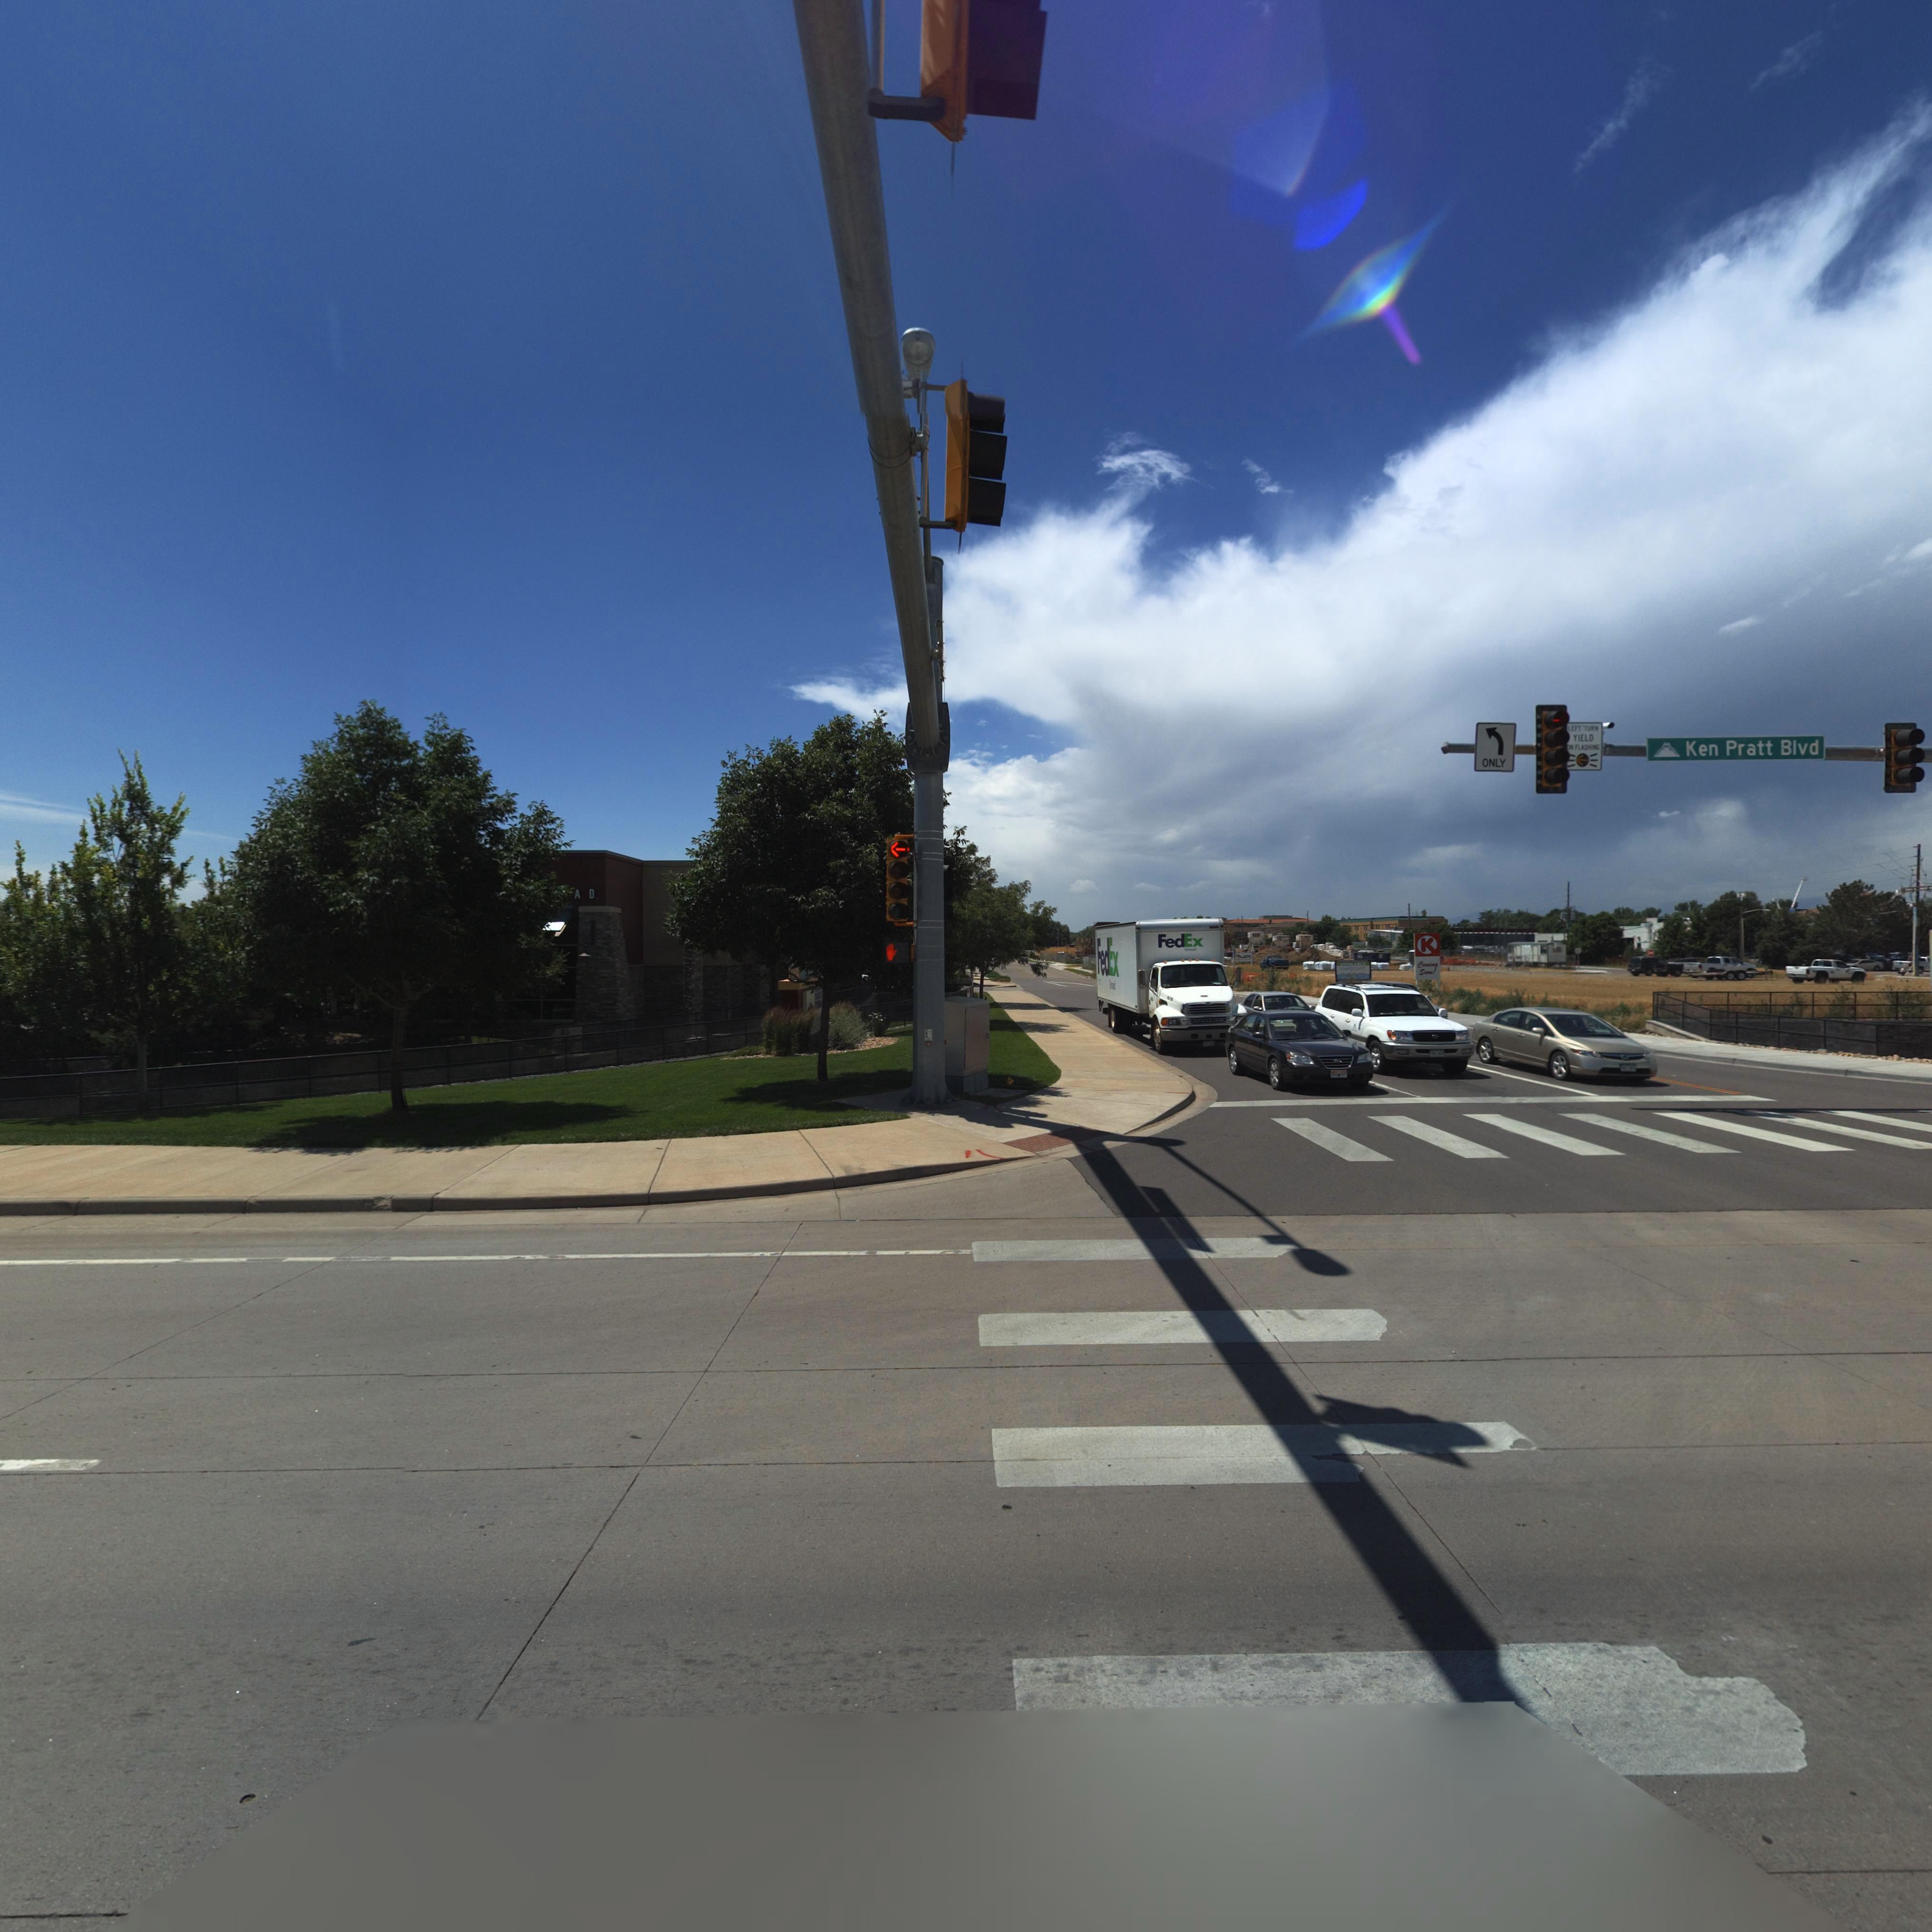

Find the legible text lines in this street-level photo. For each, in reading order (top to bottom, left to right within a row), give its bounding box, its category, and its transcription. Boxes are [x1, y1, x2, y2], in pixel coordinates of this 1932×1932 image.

[1686, 739, 1818, 756] StreetName: Ken Pratt Blvd
[574, 889, 594, 898] BusinessName: AD